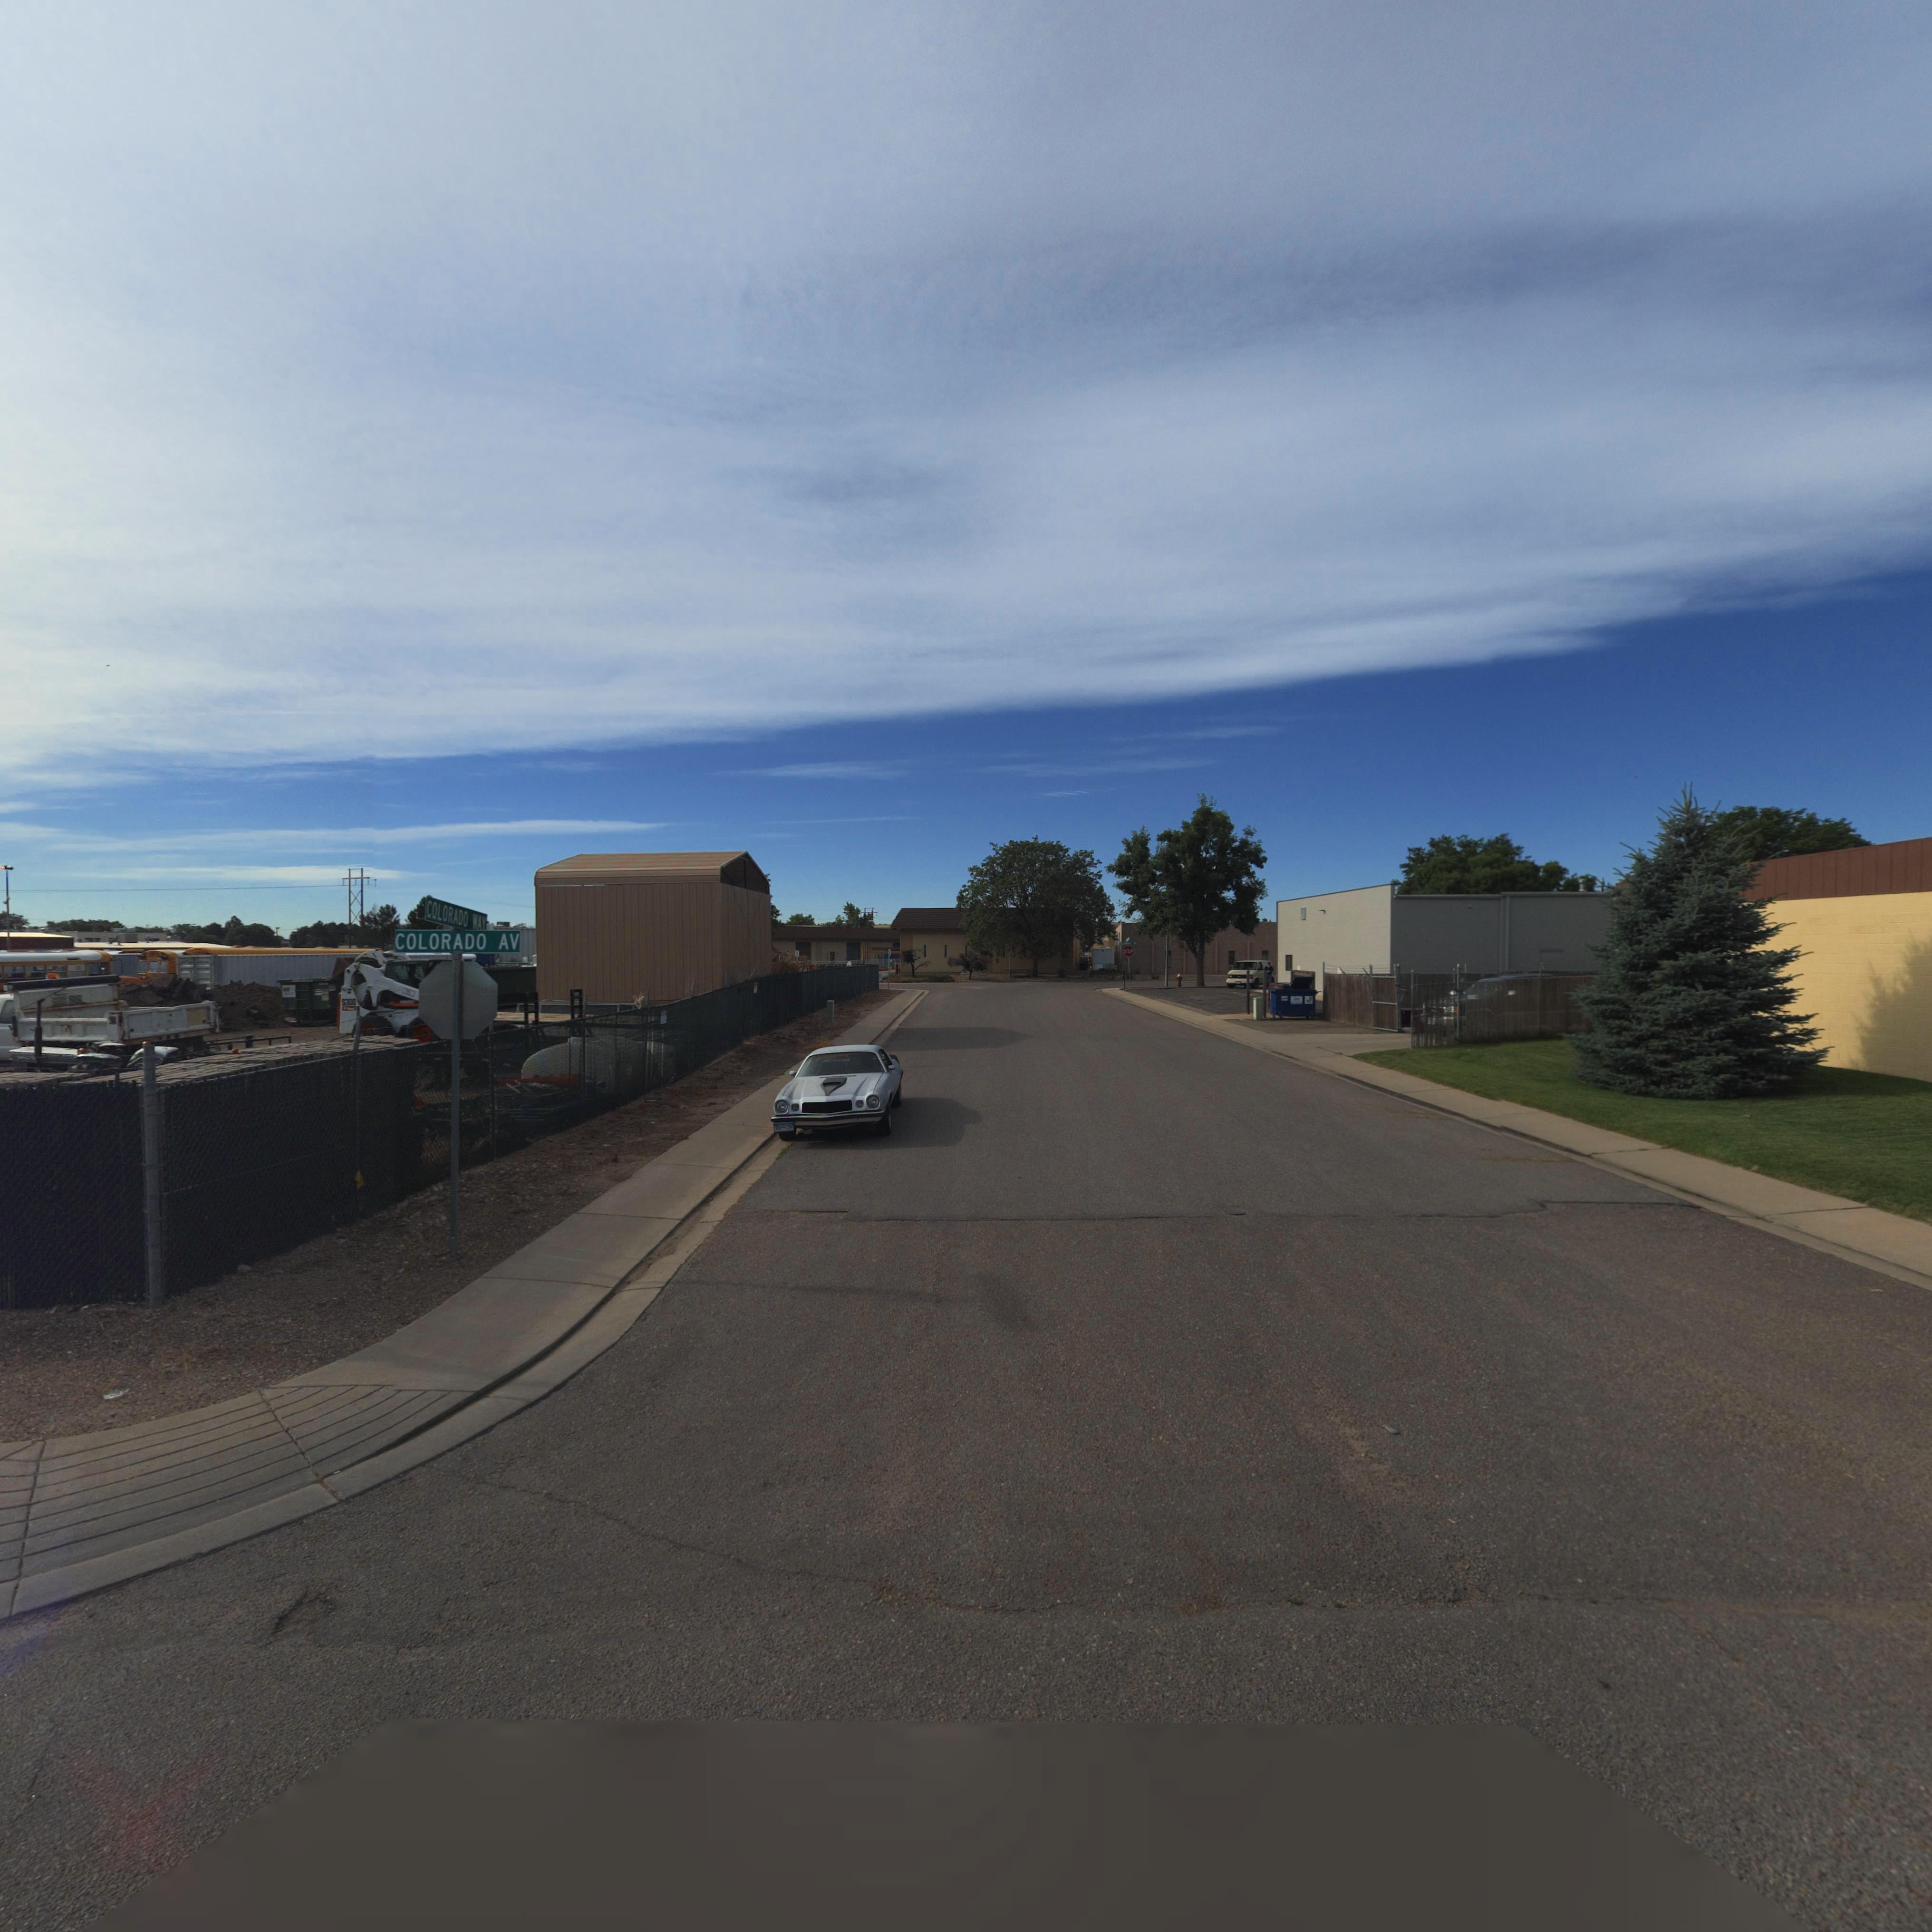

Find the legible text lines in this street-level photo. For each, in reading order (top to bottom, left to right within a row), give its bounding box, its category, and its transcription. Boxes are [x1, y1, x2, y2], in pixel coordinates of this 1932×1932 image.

[426, 900, 487, 930] StreetName: COLORADO WAY
[394, 933, 520, 950] StreetName: COLORADO AV